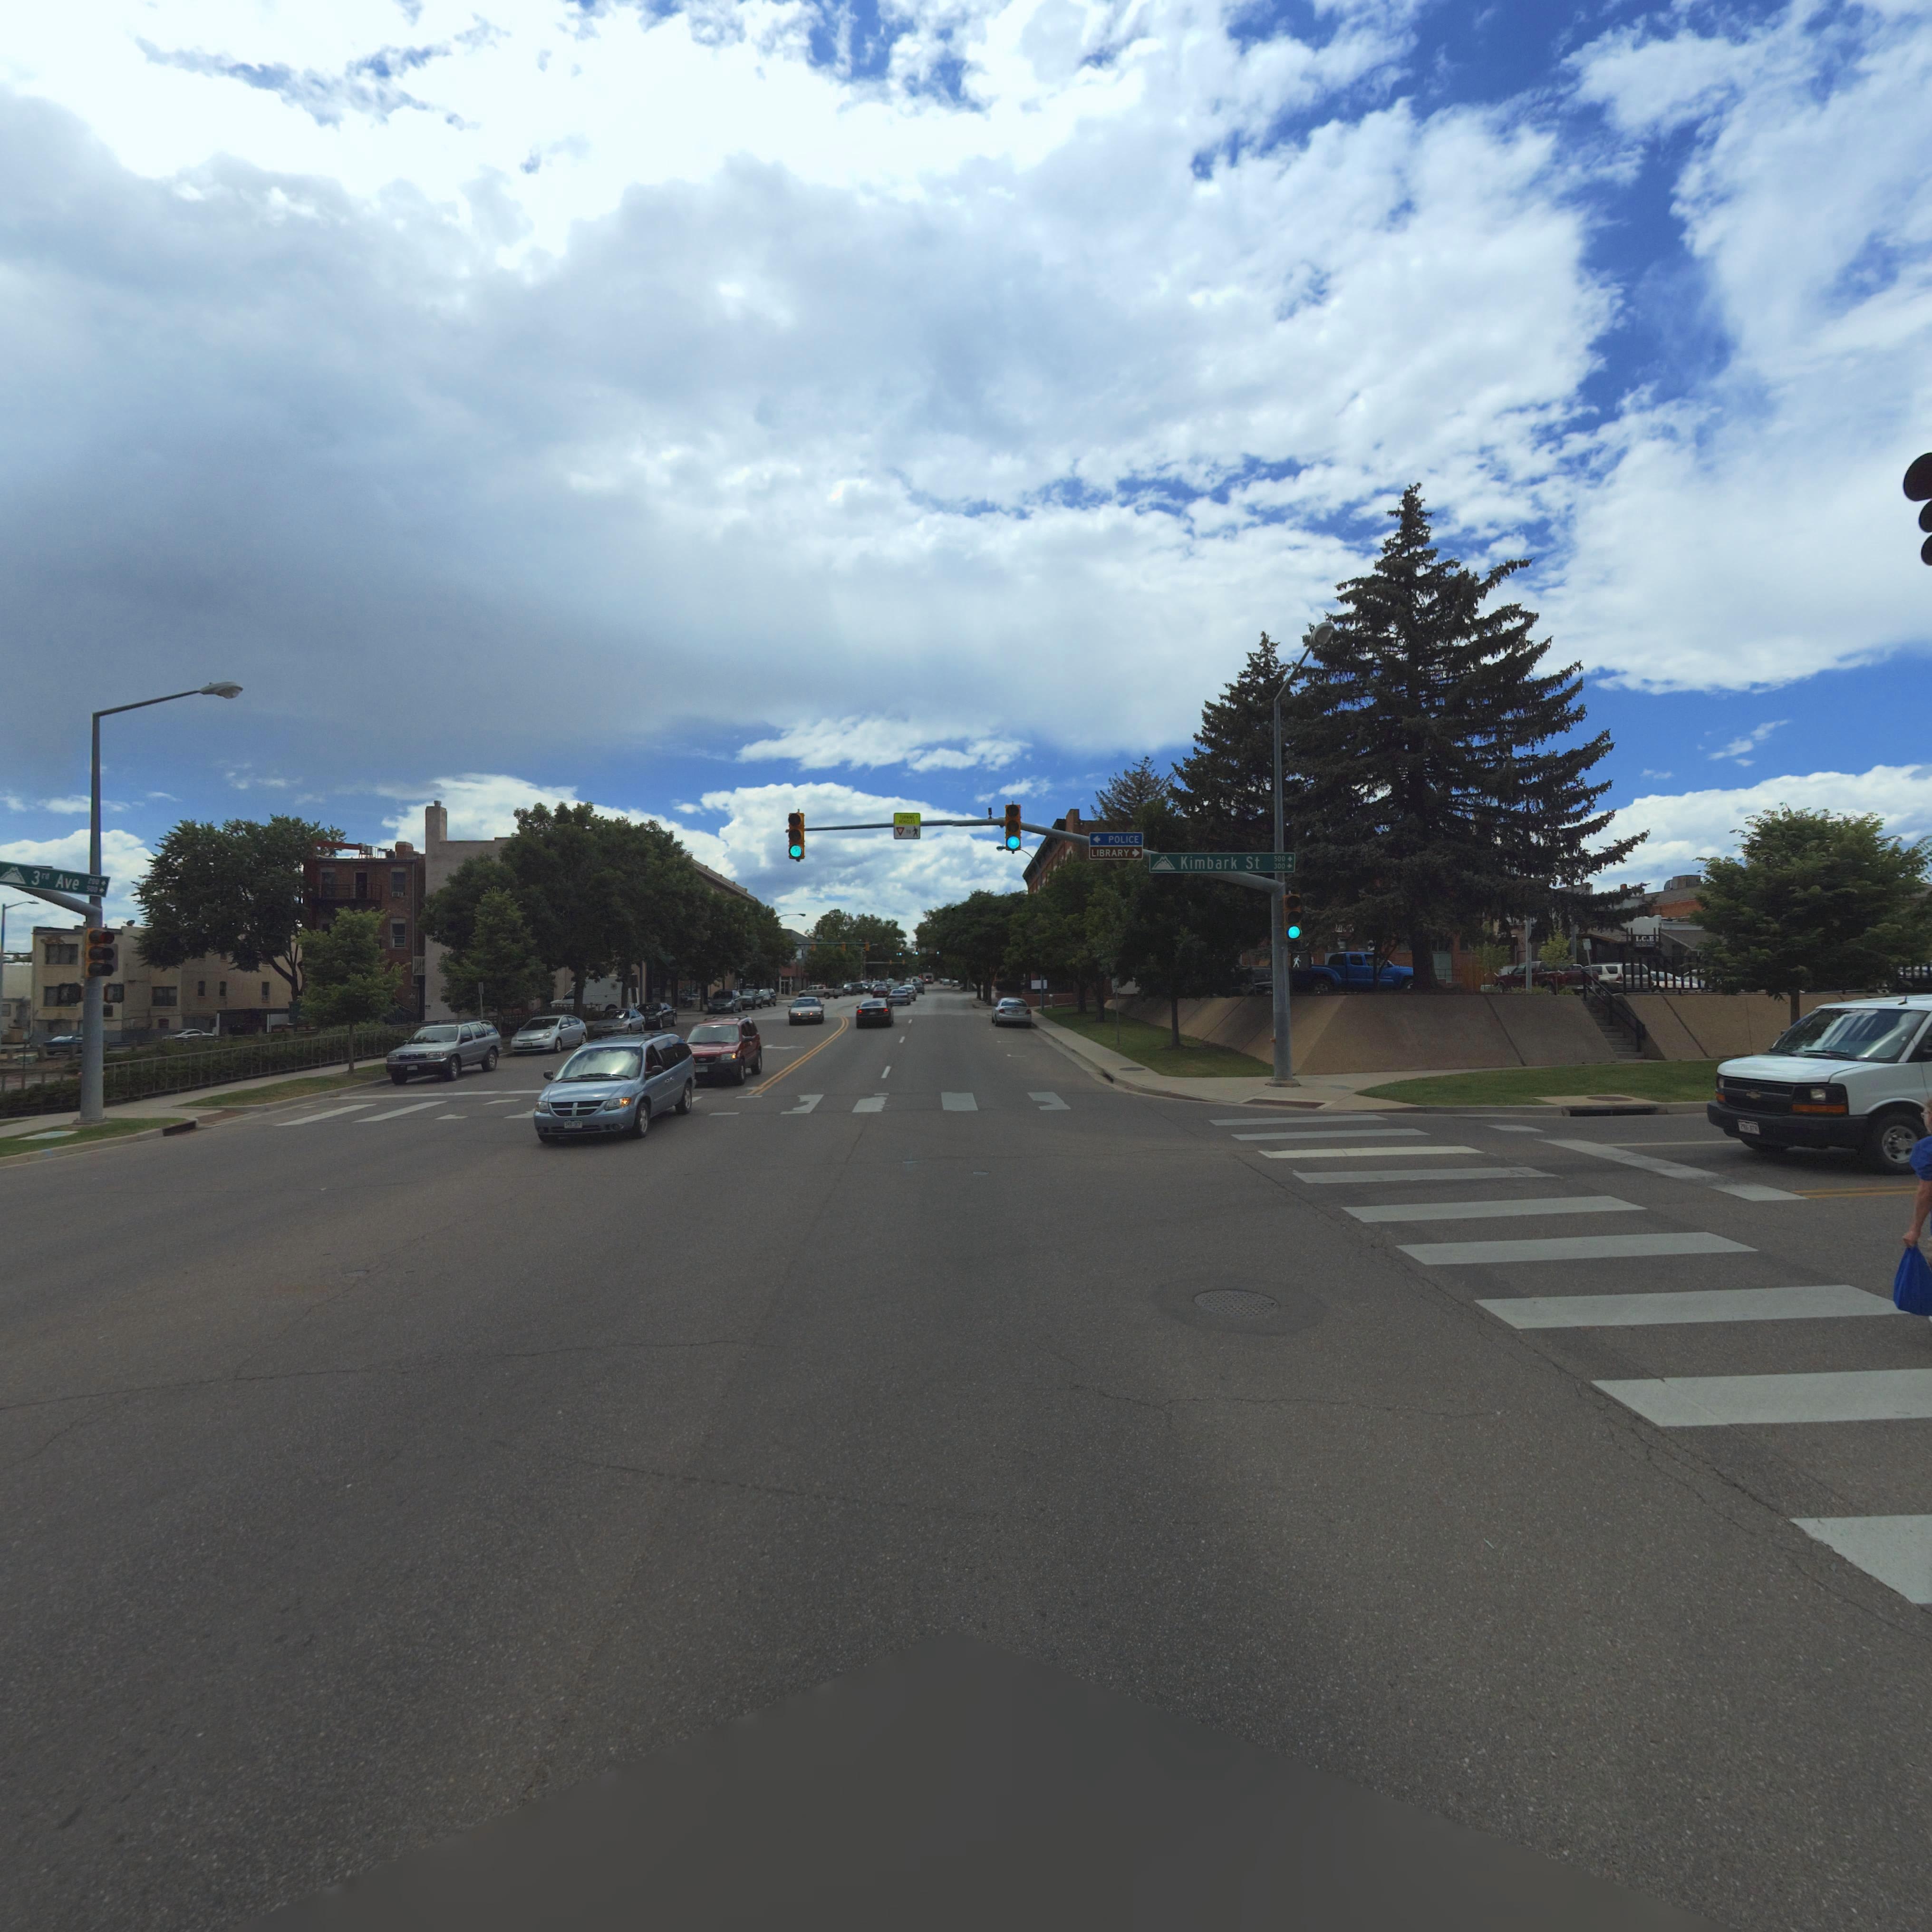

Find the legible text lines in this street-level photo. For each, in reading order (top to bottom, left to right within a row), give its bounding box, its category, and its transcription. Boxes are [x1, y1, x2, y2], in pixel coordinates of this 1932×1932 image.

[1274, 855, 1285, 861] StreetNumberRange: 500
[1180, 856, 1260, 869] StreetName: Kimbark St
[1274, 863, 1293, 869] StreetNumberRange: 300->
[31, 869, 79, 889] StreetName: 3rd Ave
[87, 877, 100, 885] StreetNumberRange: 200
[86, 885, 105, 893] StreetNumberRange: 500->